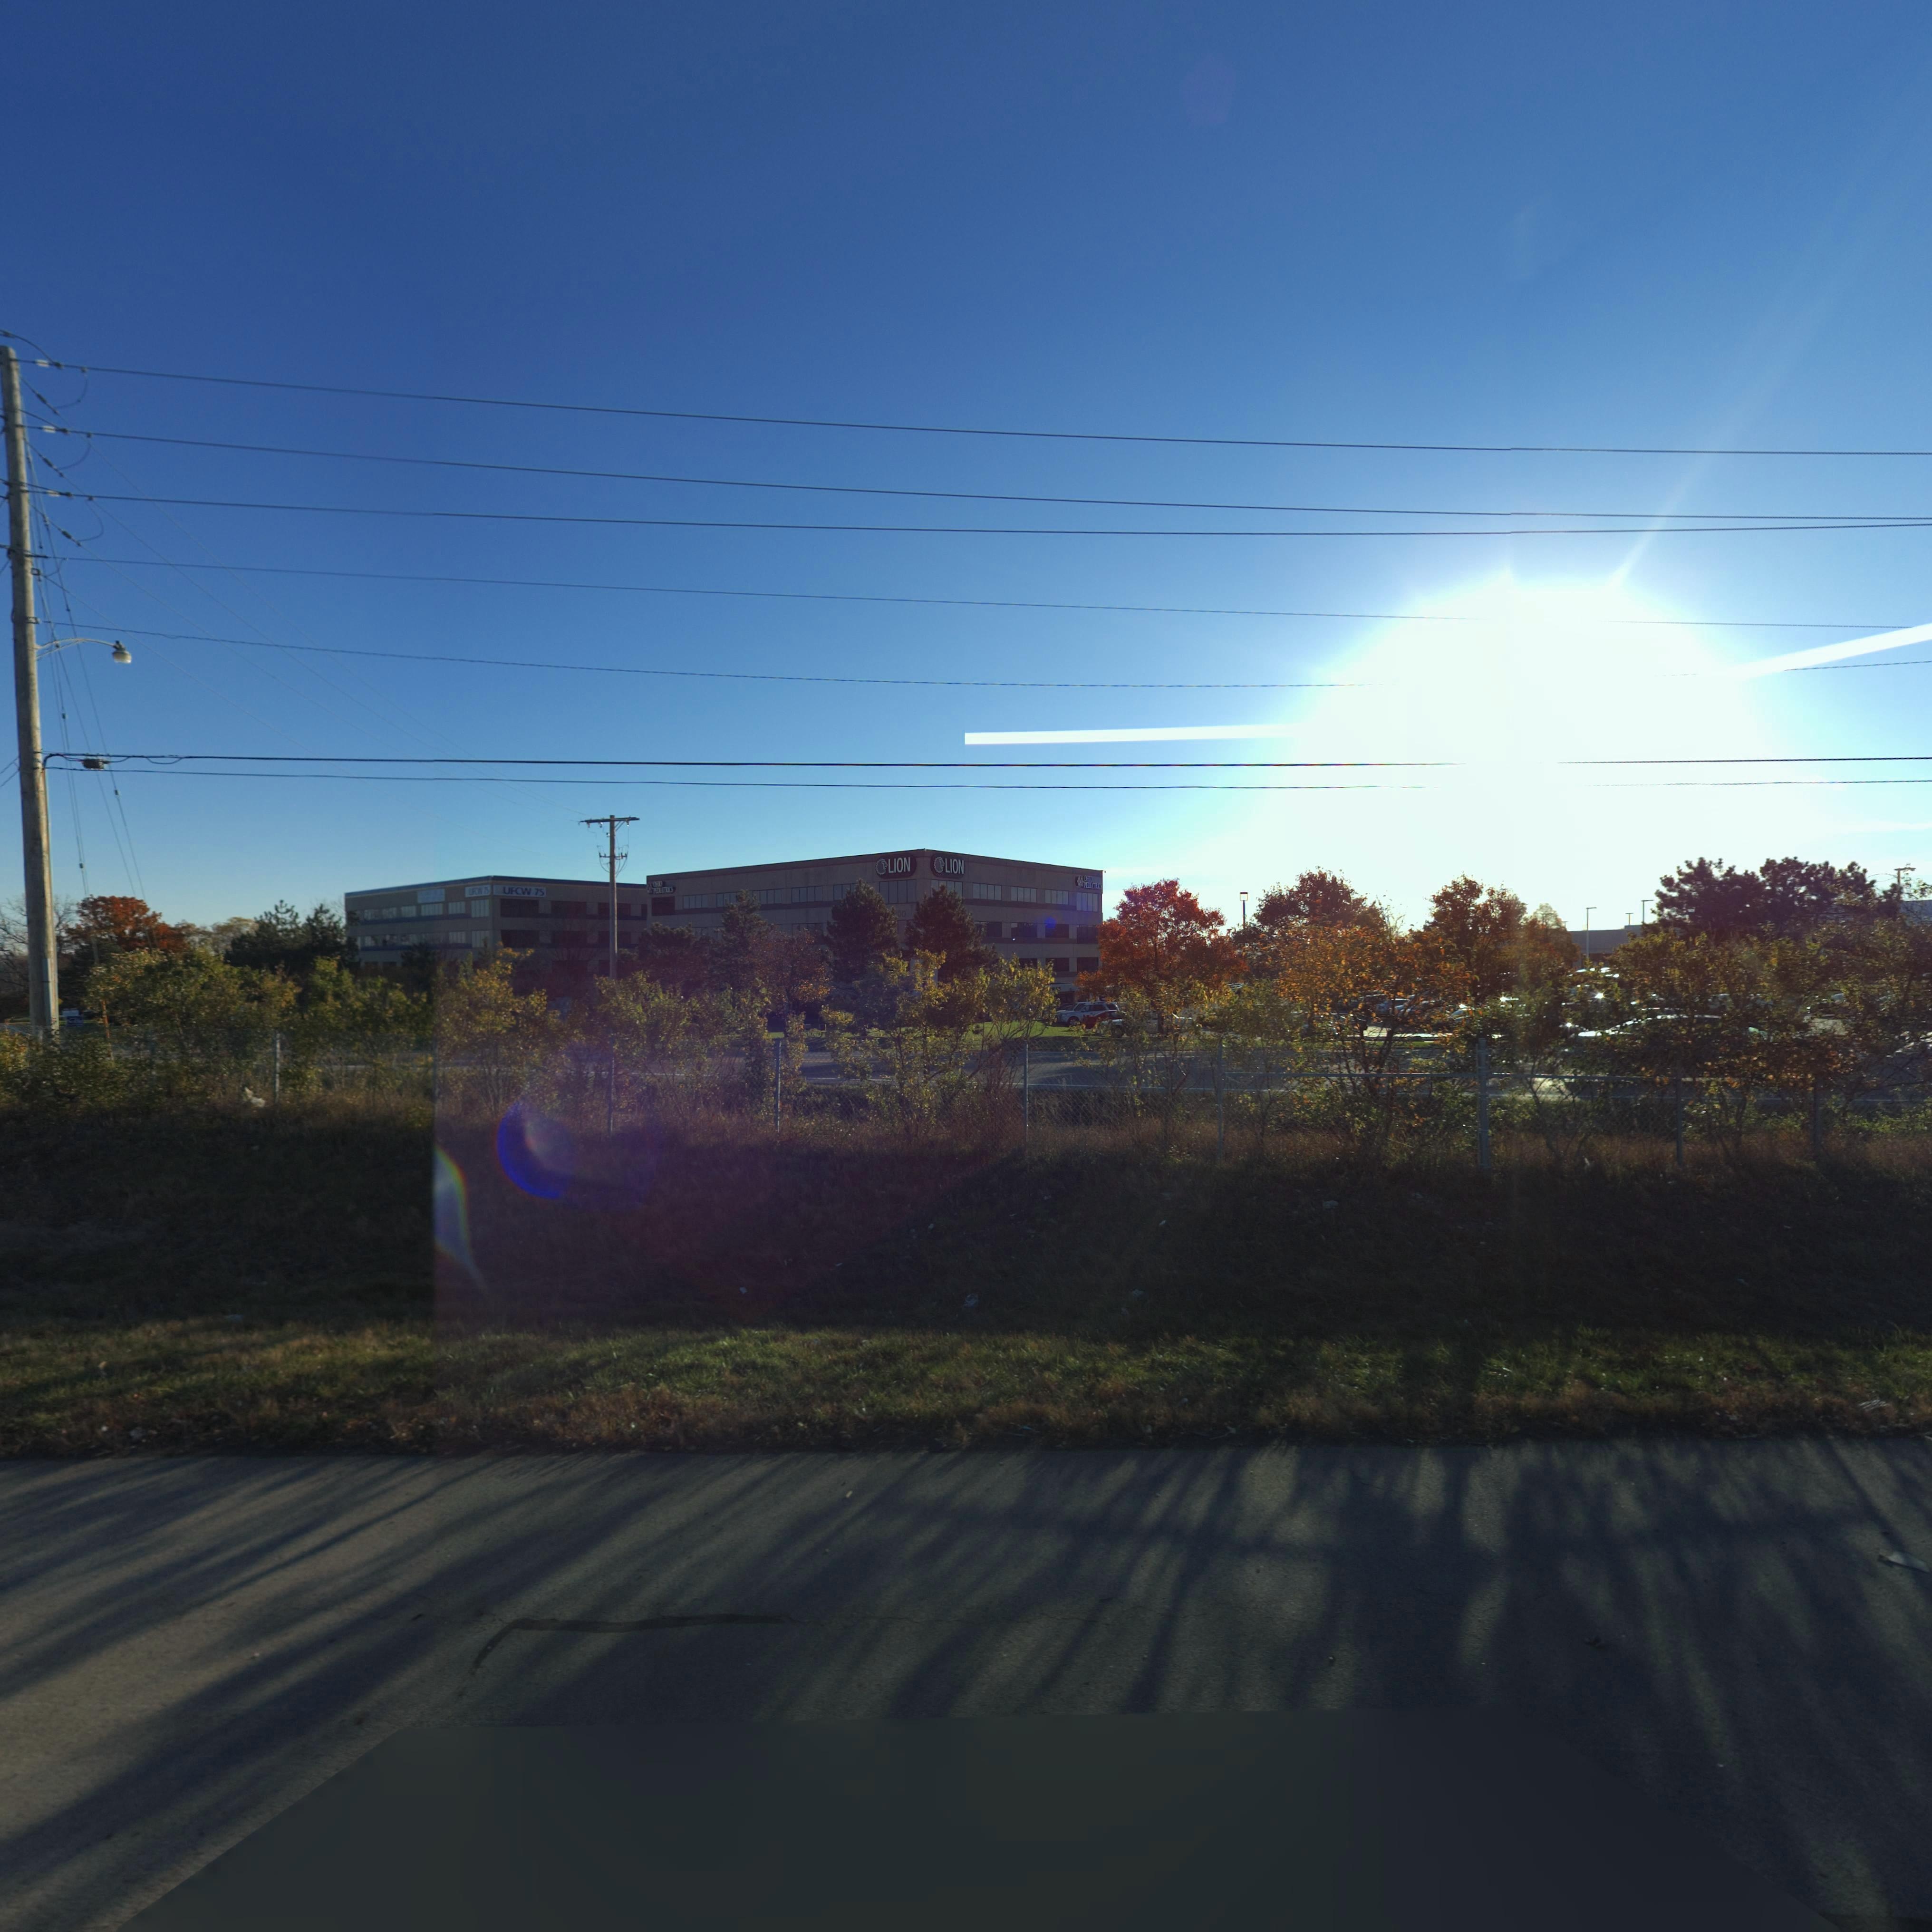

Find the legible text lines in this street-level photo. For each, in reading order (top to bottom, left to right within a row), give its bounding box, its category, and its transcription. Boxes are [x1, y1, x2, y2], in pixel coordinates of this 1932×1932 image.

[887, 856, 912, 875] None: LION
[943, 856, 967, 879] None: LION
[466, 886, 490, 898] None: **** 75
[500, 885, 547, 898] None: UFCW 75
[650, 879, 664, 888] None: ORTHO
[650, 885, 675, 895] None: PEDIATRICS
[1083, 881, 1102, 891] None: PEDIATRICS
[896, 909, 908, 919] StreetNumber: 00